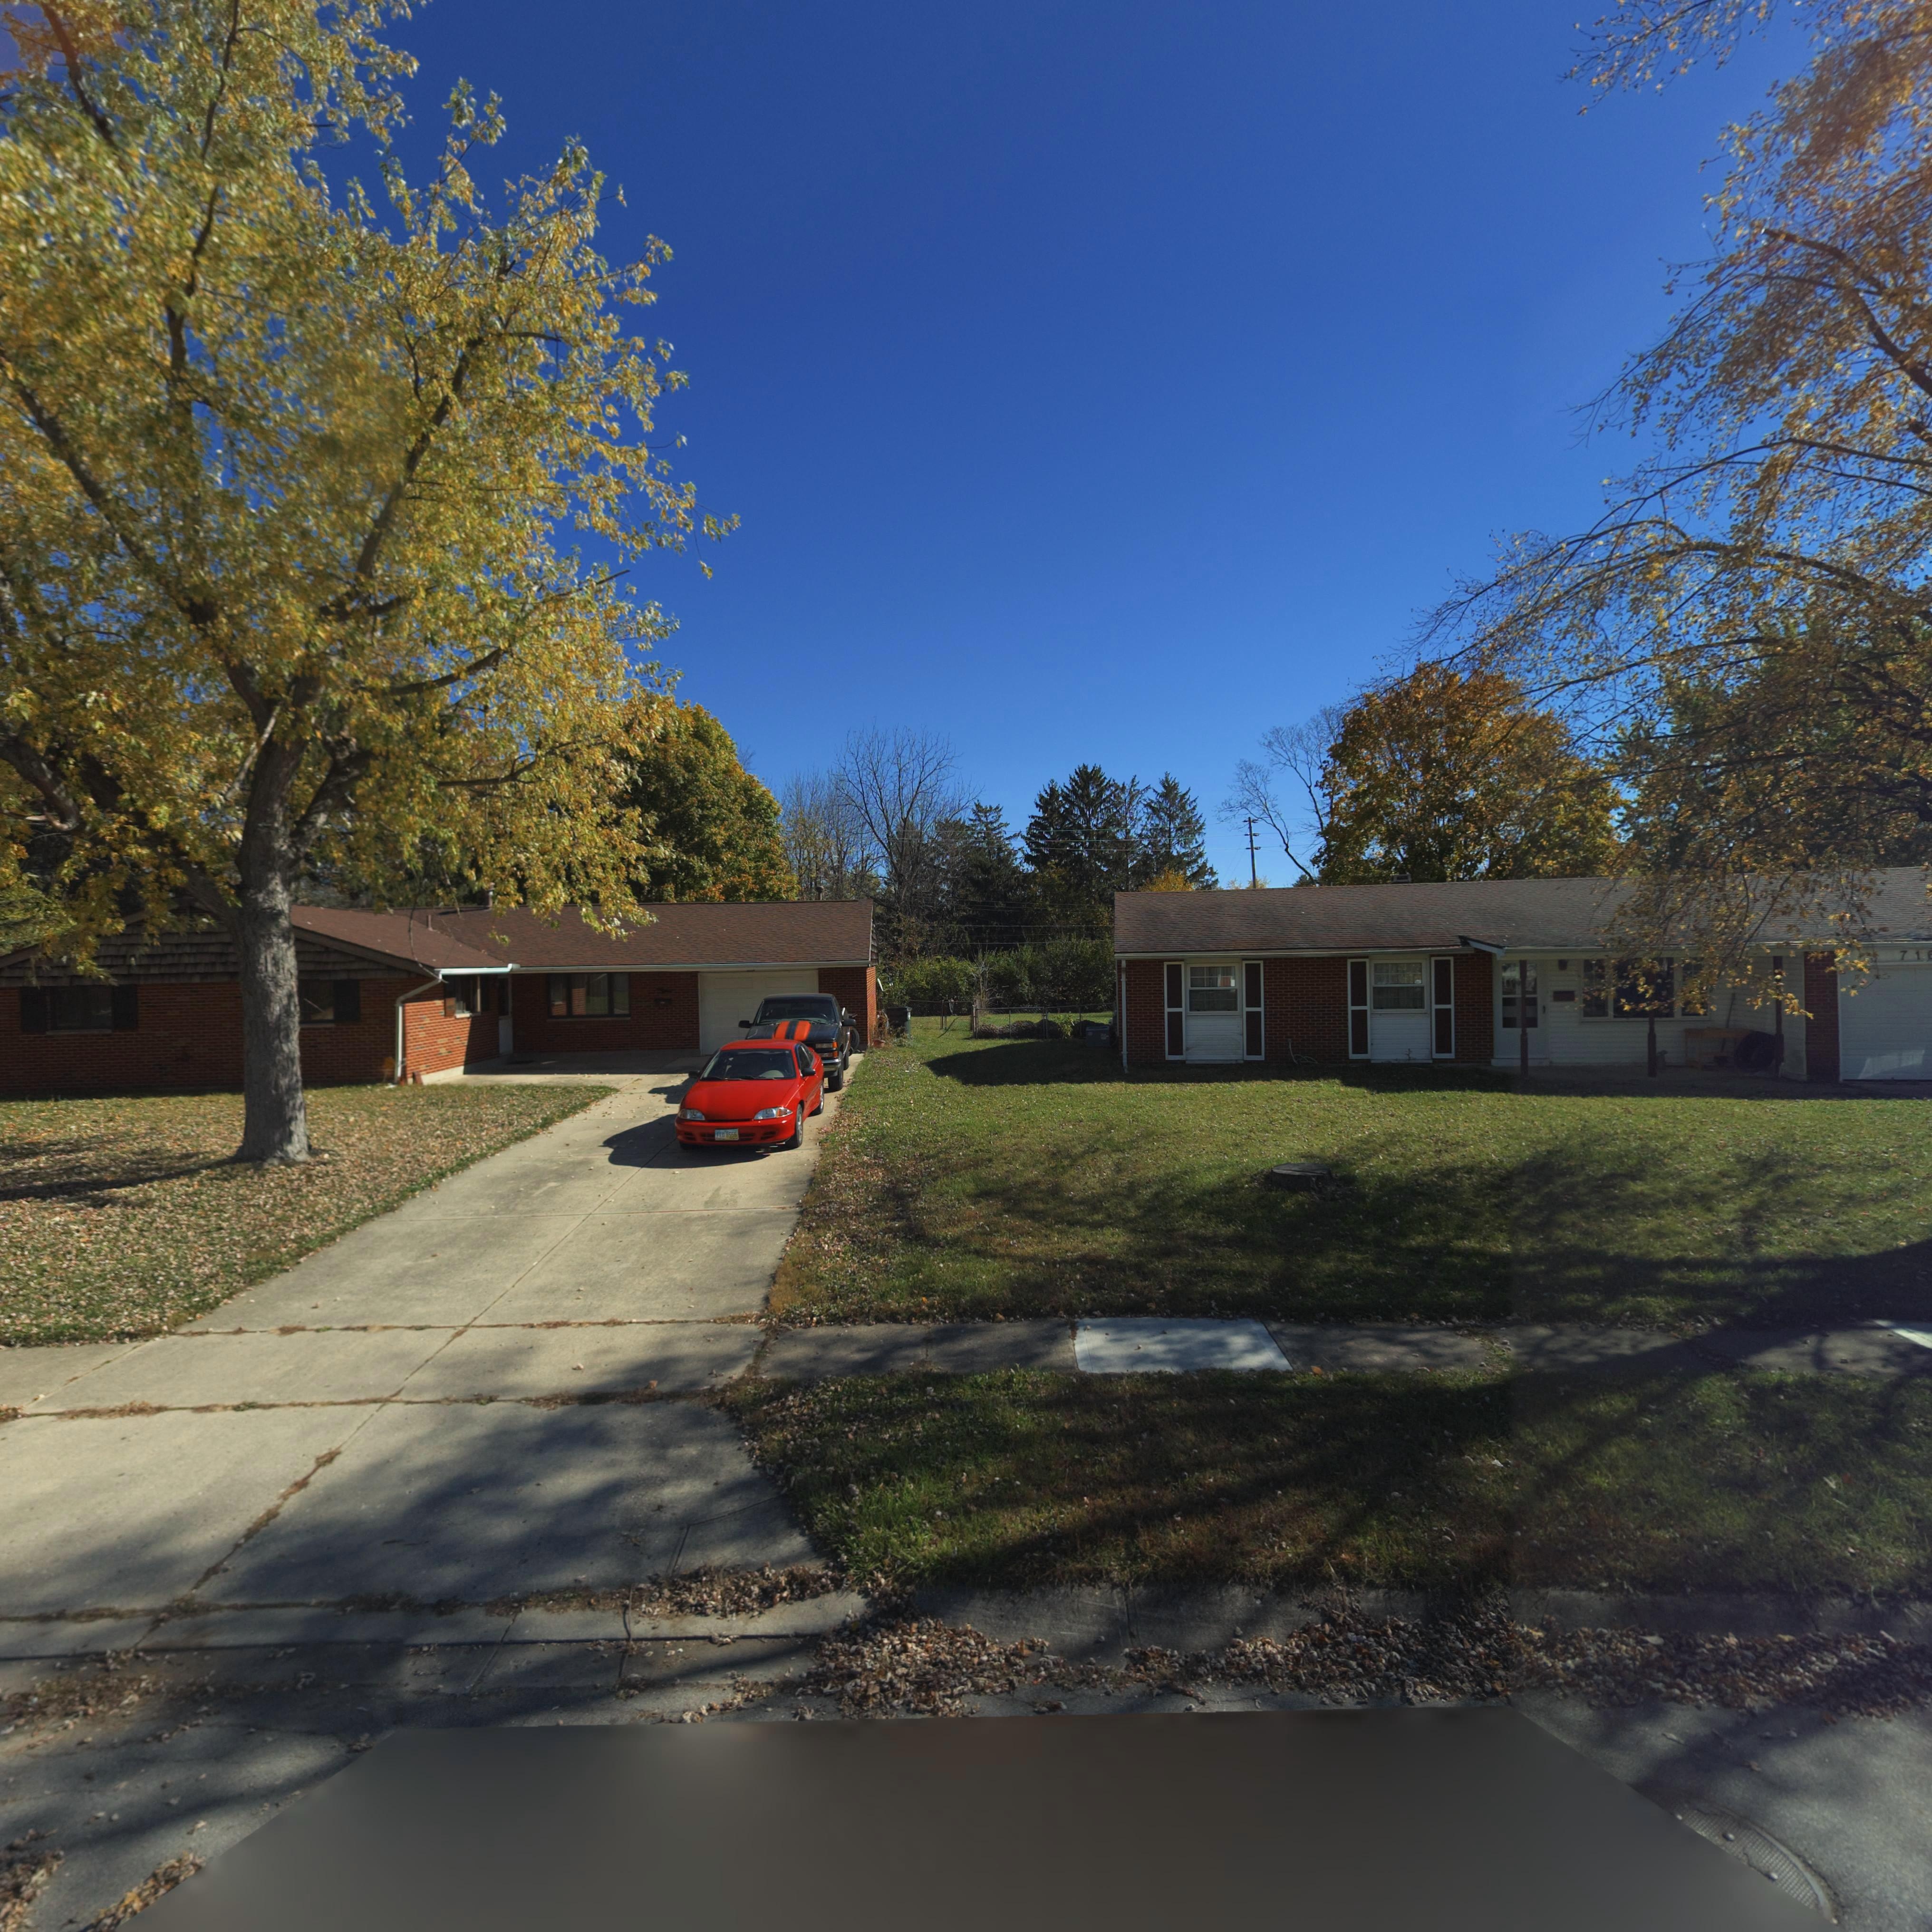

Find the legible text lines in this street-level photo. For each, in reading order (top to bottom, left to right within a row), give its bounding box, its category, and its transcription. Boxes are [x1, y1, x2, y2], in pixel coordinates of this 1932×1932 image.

[1899, 950, 1921, 961] StreetNumber: 71